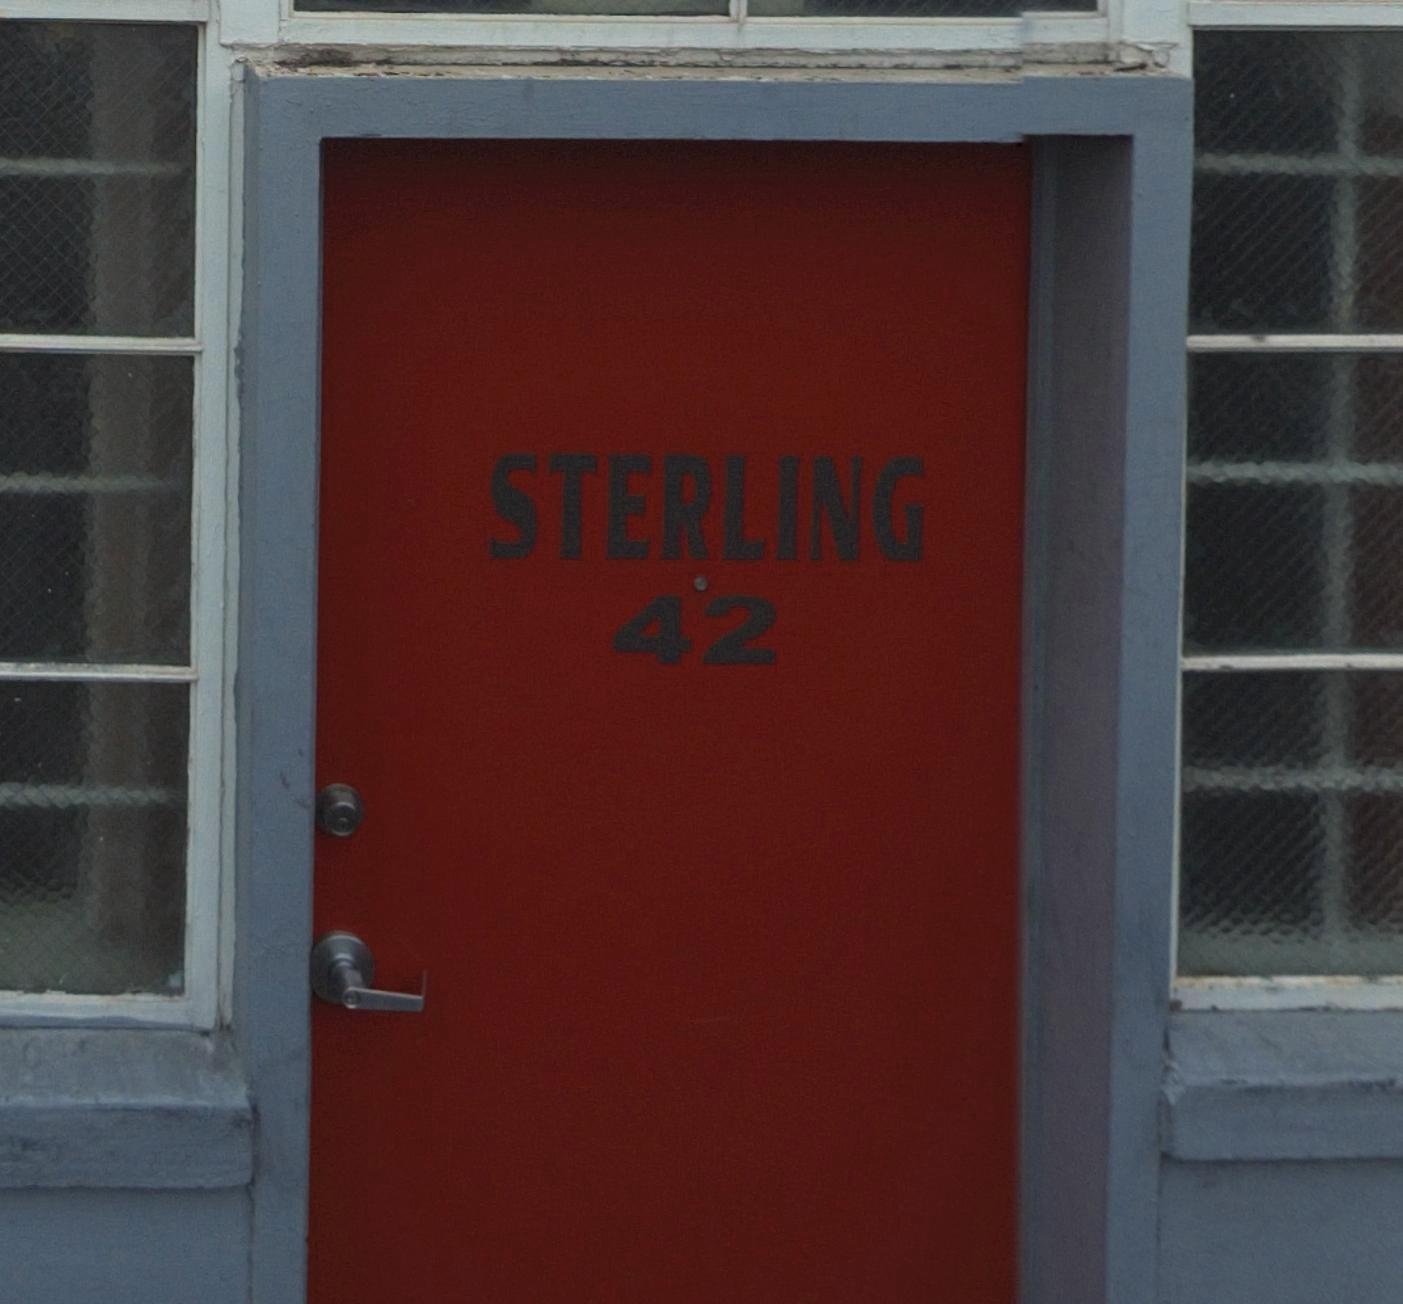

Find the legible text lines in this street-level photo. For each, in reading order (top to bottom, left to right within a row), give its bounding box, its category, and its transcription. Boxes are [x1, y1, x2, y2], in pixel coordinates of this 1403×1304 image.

[482, 443, 932, 569] None: STERLING
[606, 589, 782, 670] StreetNumber: 42